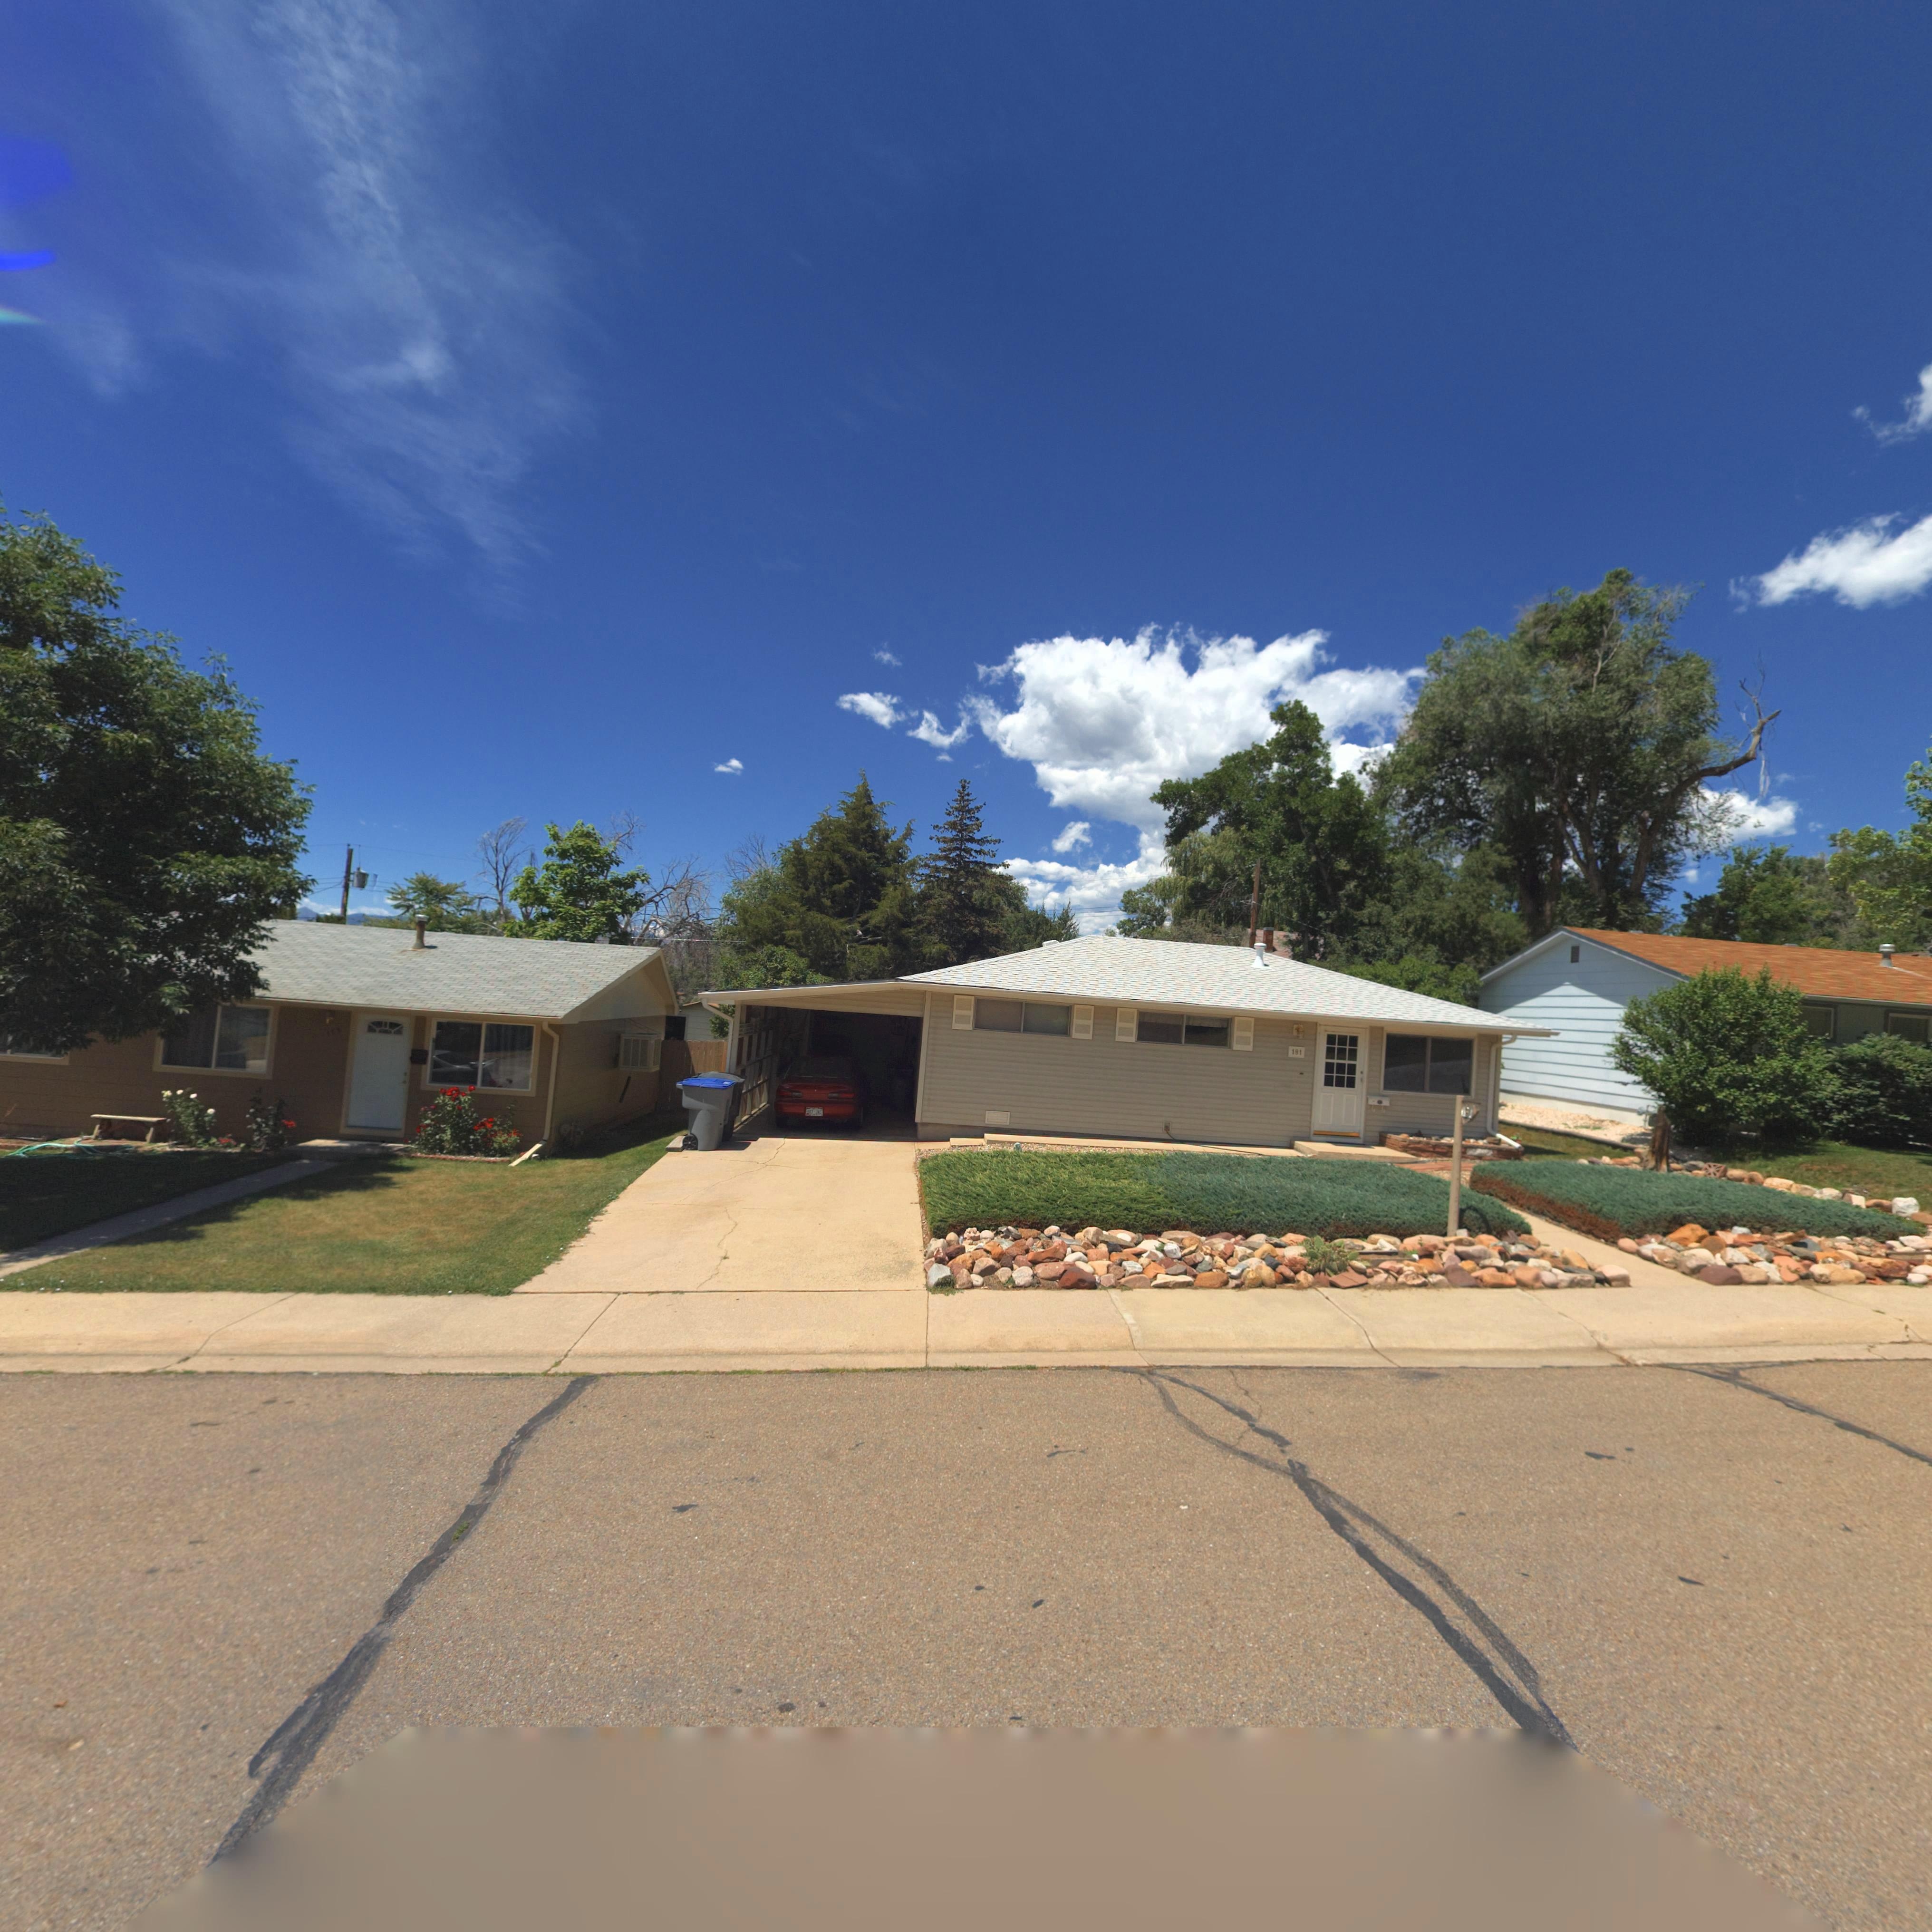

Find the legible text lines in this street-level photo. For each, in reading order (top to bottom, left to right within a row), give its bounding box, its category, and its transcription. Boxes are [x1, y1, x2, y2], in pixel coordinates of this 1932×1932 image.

[326, 1027, 341, 1037] StreetNumber: 17*
[1292, 1048, 1301, 1055] StreetNumber: 181
[1459, 1106, 1473, 1118] StreetNumber: 65*